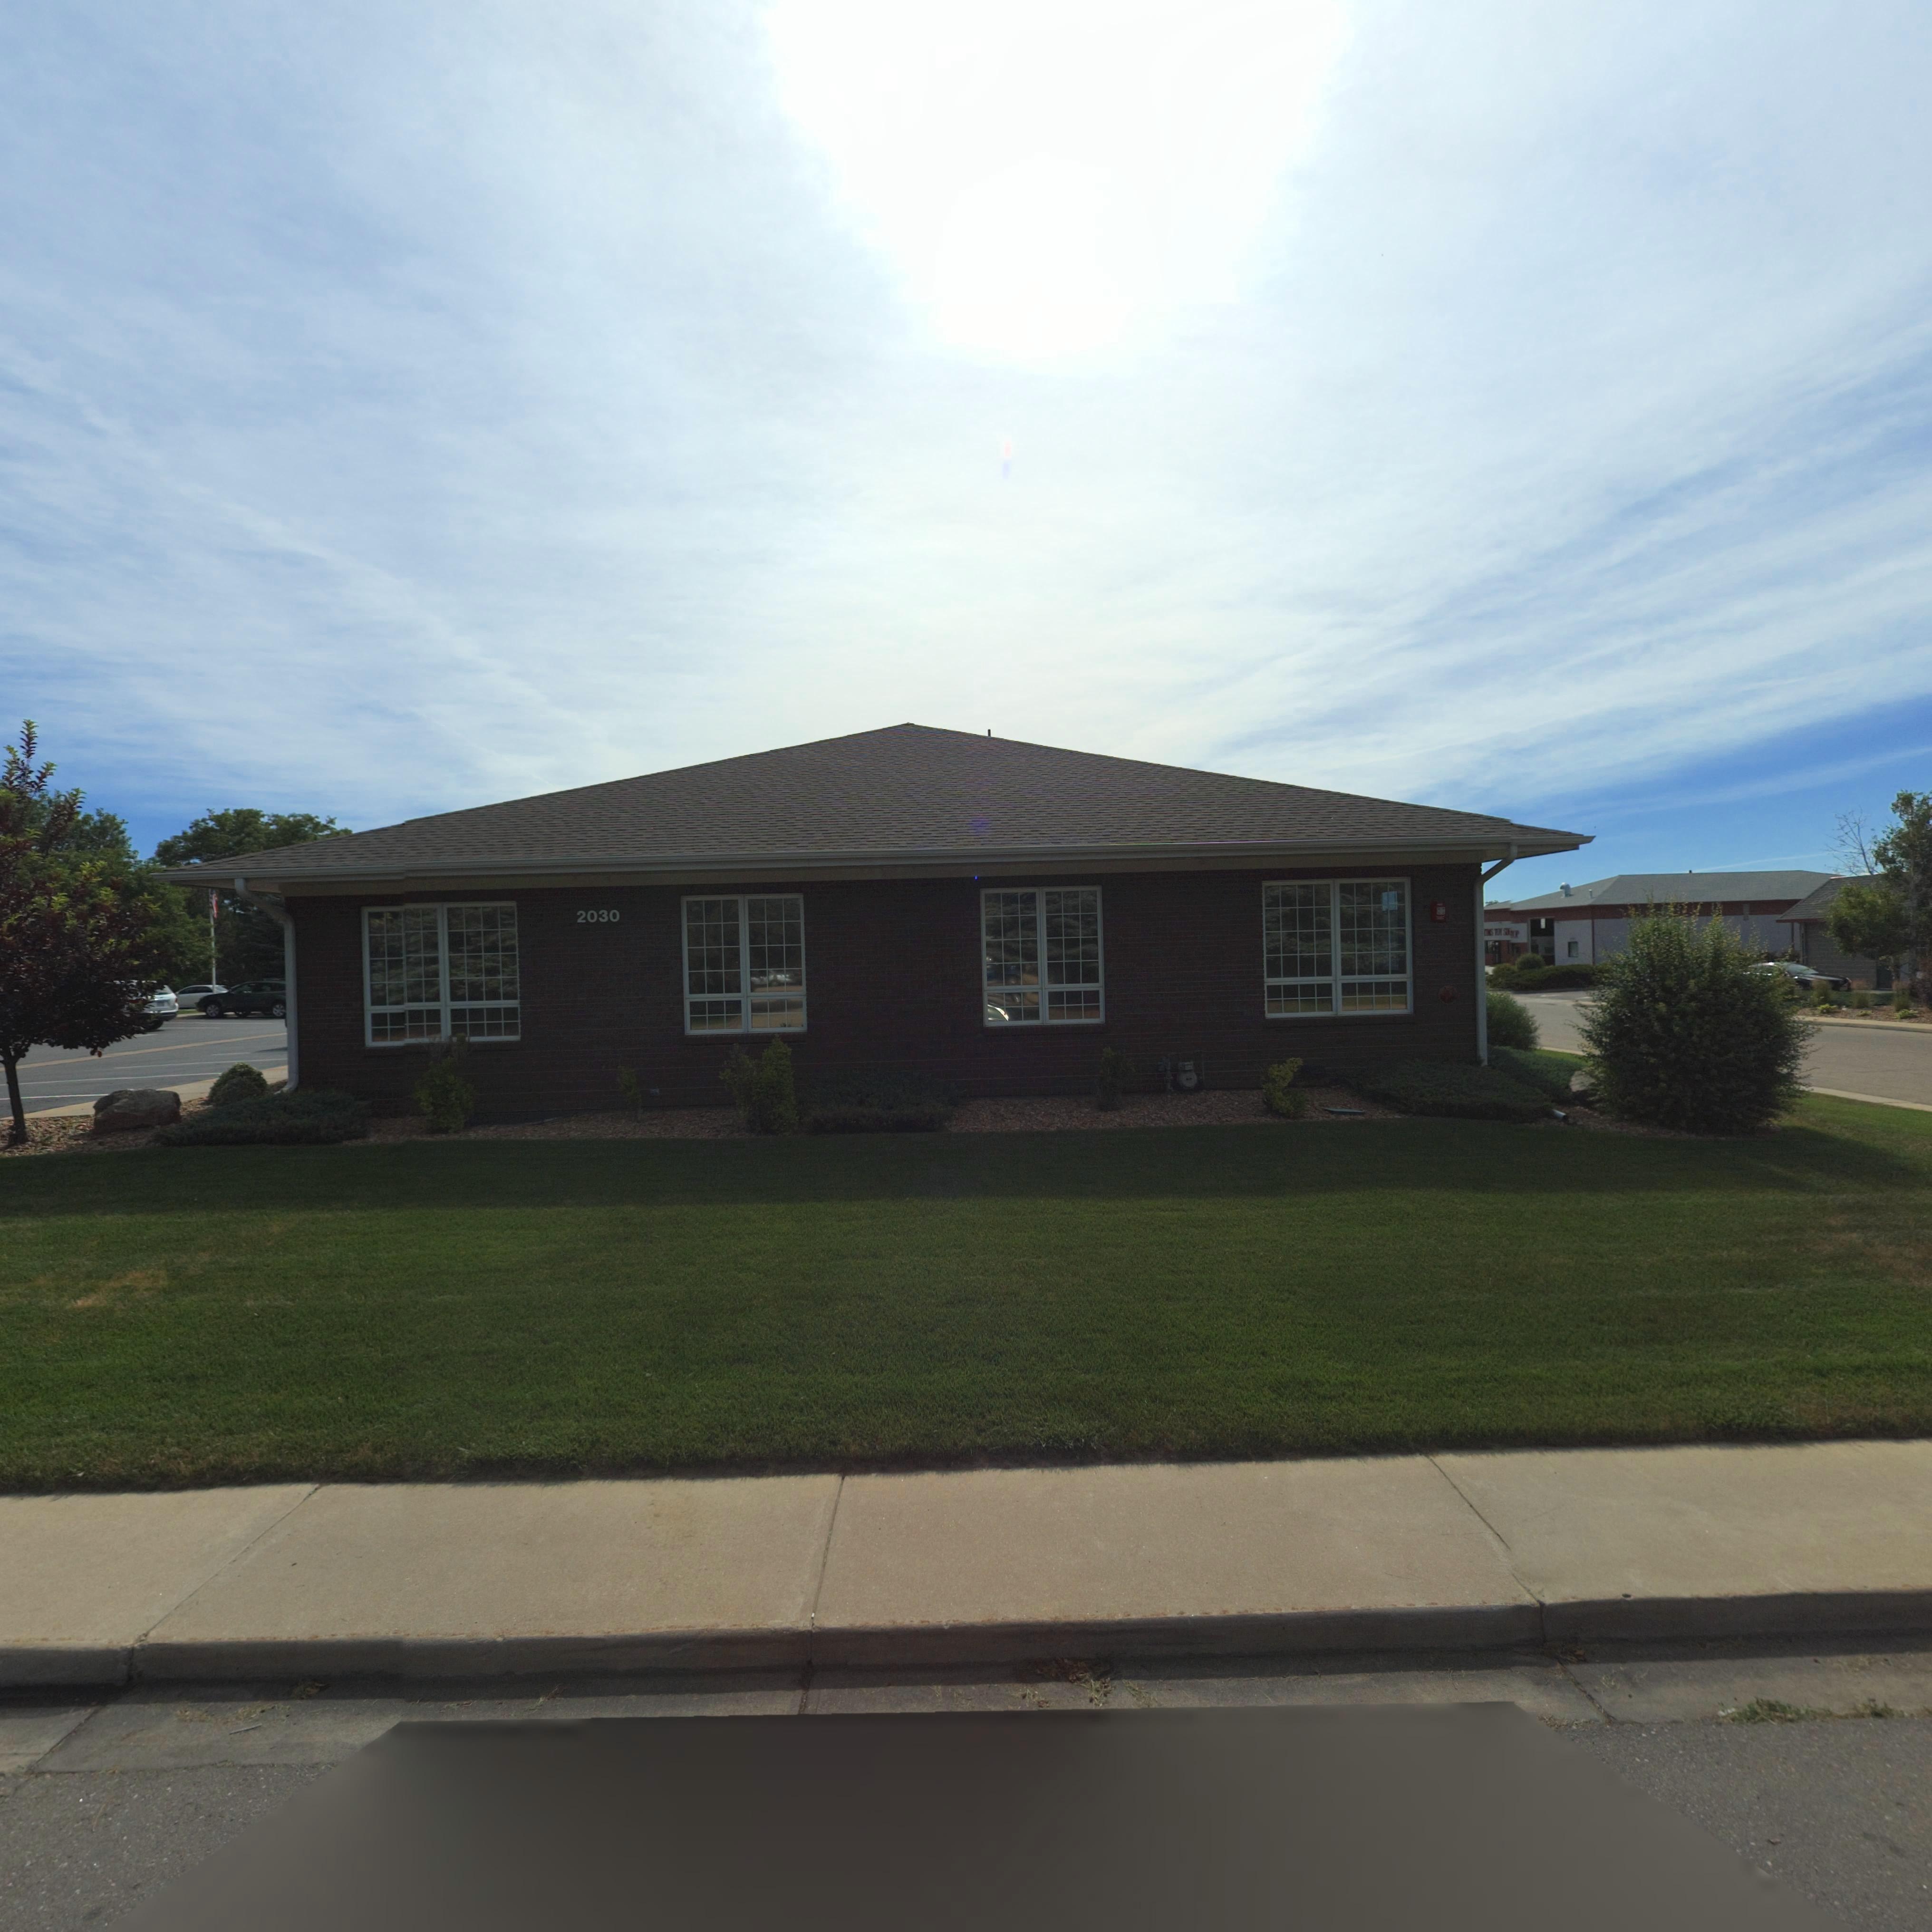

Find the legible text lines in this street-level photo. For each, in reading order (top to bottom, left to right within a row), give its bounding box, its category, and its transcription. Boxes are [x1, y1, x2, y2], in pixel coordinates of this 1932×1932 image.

[576, 909, 620, 923] StreetNumber: 2030
[1483, 927, 1519, 938] BusinessName: TIMS TOY S***P